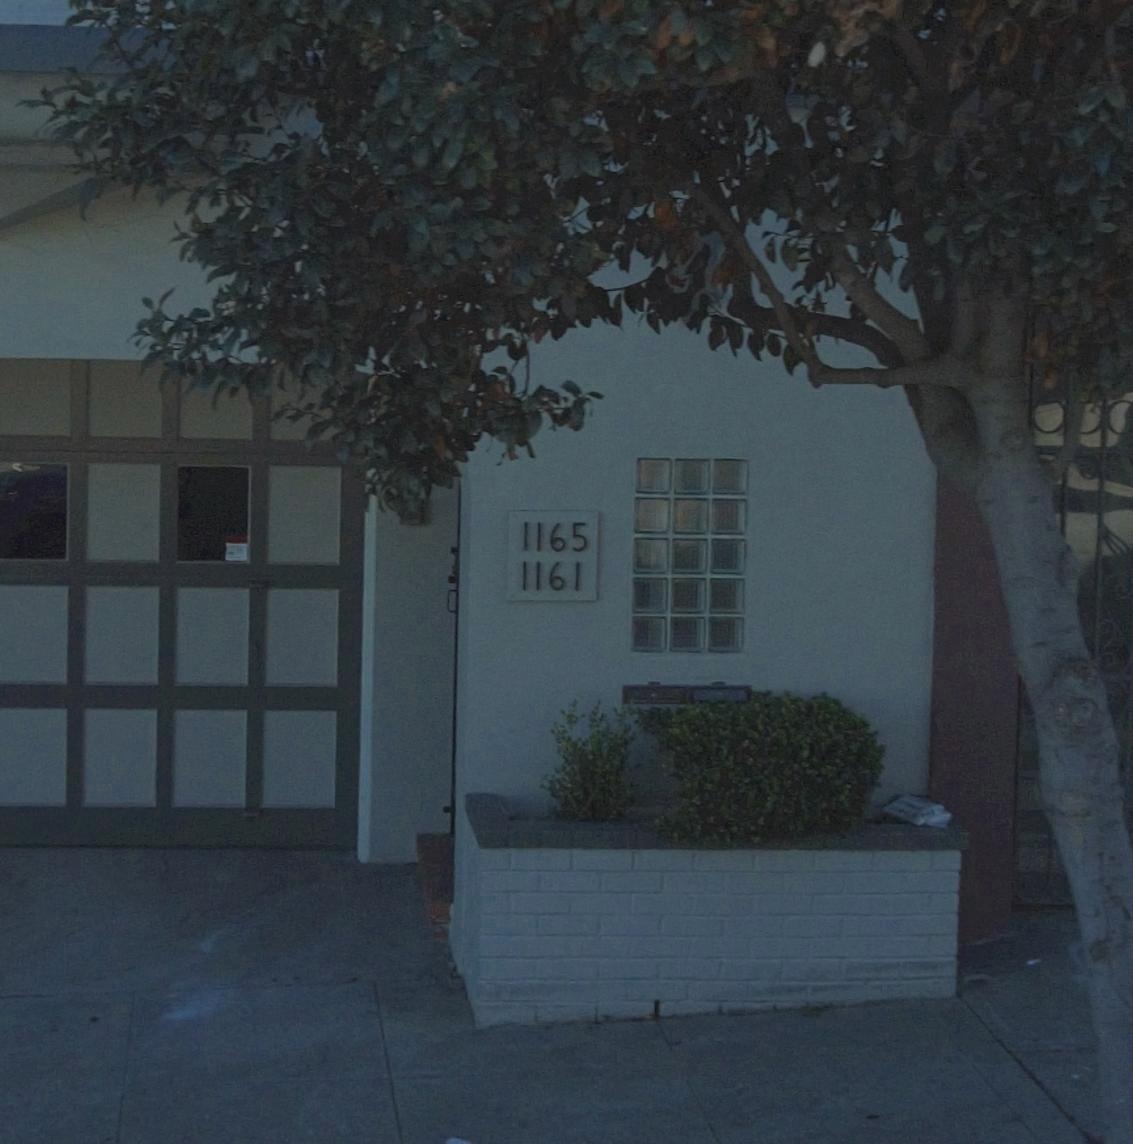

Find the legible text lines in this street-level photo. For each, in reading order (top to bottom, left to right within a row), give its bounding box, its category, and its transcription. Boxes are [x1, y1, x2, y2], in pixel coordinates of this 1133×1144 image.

[521, 519, 591, 554] StreetNumber: 1165
[519, 559, 585, 593] StreetNumber: 1161